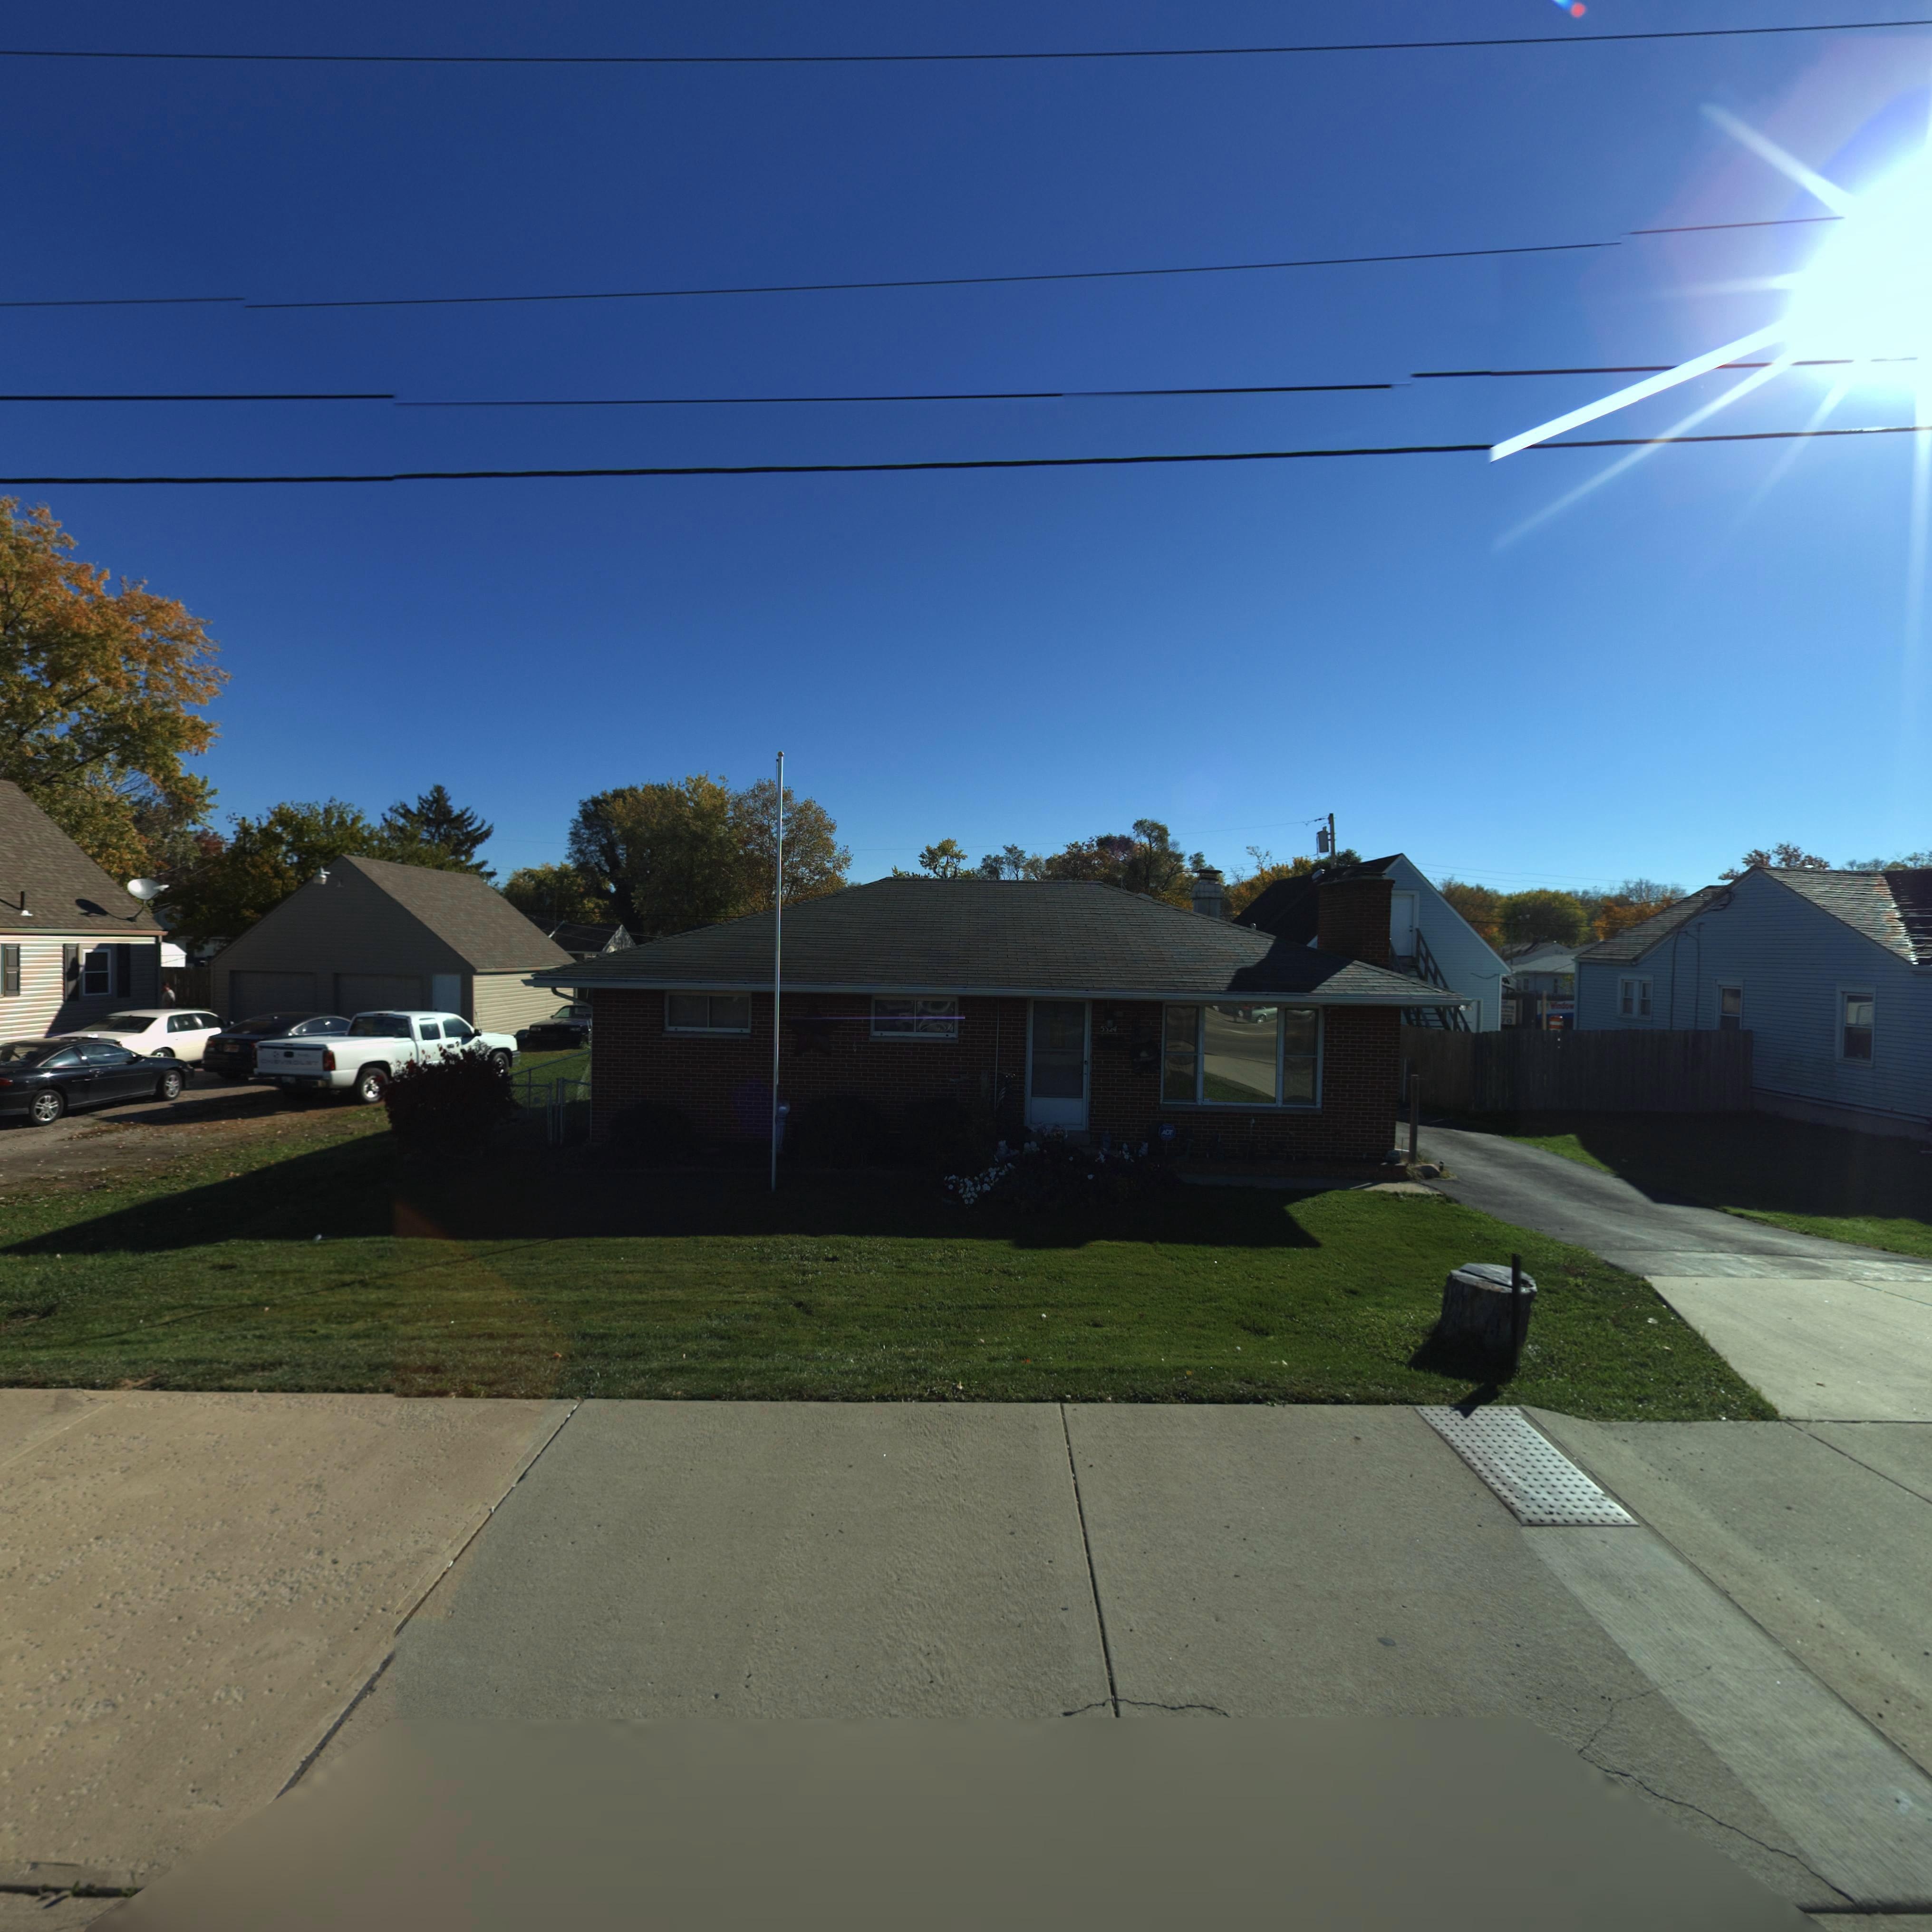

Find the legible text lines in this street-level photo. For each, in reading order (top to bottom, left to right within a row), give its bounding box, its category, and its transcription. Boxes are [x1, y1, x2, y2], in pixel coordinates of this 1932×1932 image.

[1100, 1025, 1117, 1033] StreetNumber: 5324